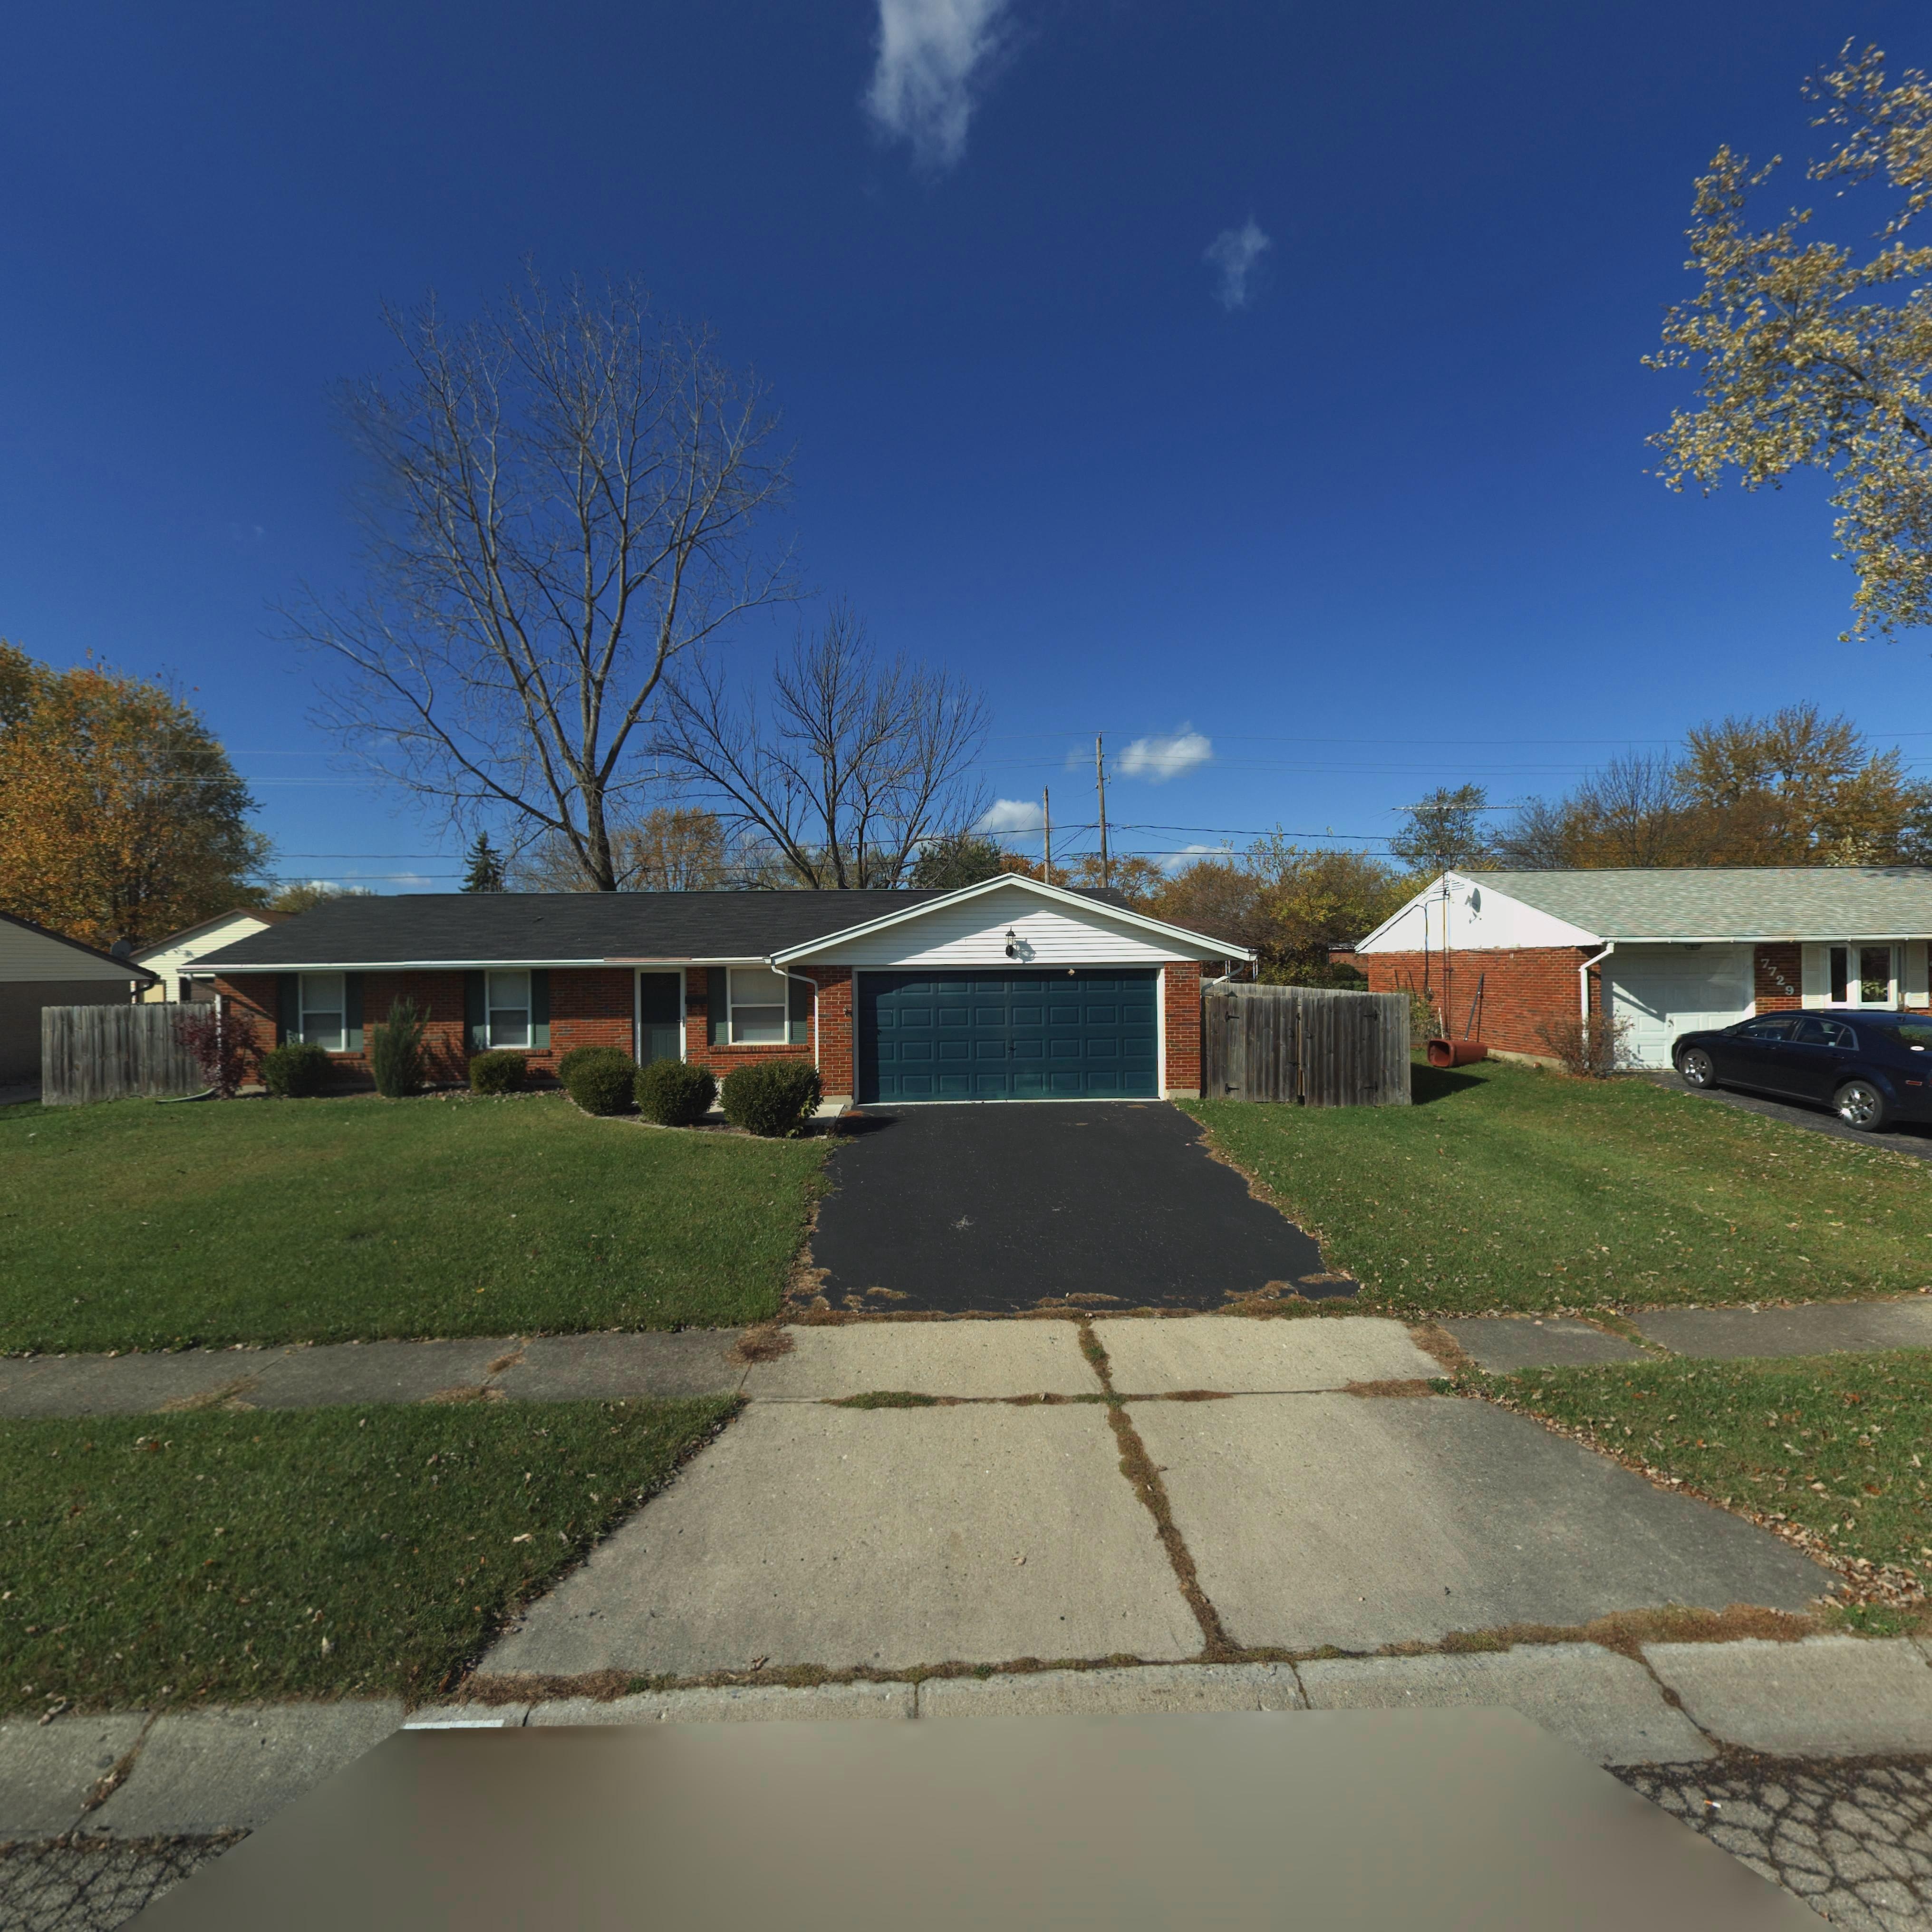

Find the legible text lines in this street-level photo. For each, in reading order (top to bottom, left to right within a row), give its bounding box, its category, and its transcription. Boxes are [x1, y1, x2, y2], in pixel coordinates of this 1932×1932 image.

[1759, 957, 1796, 997] StreetNumber: 7729